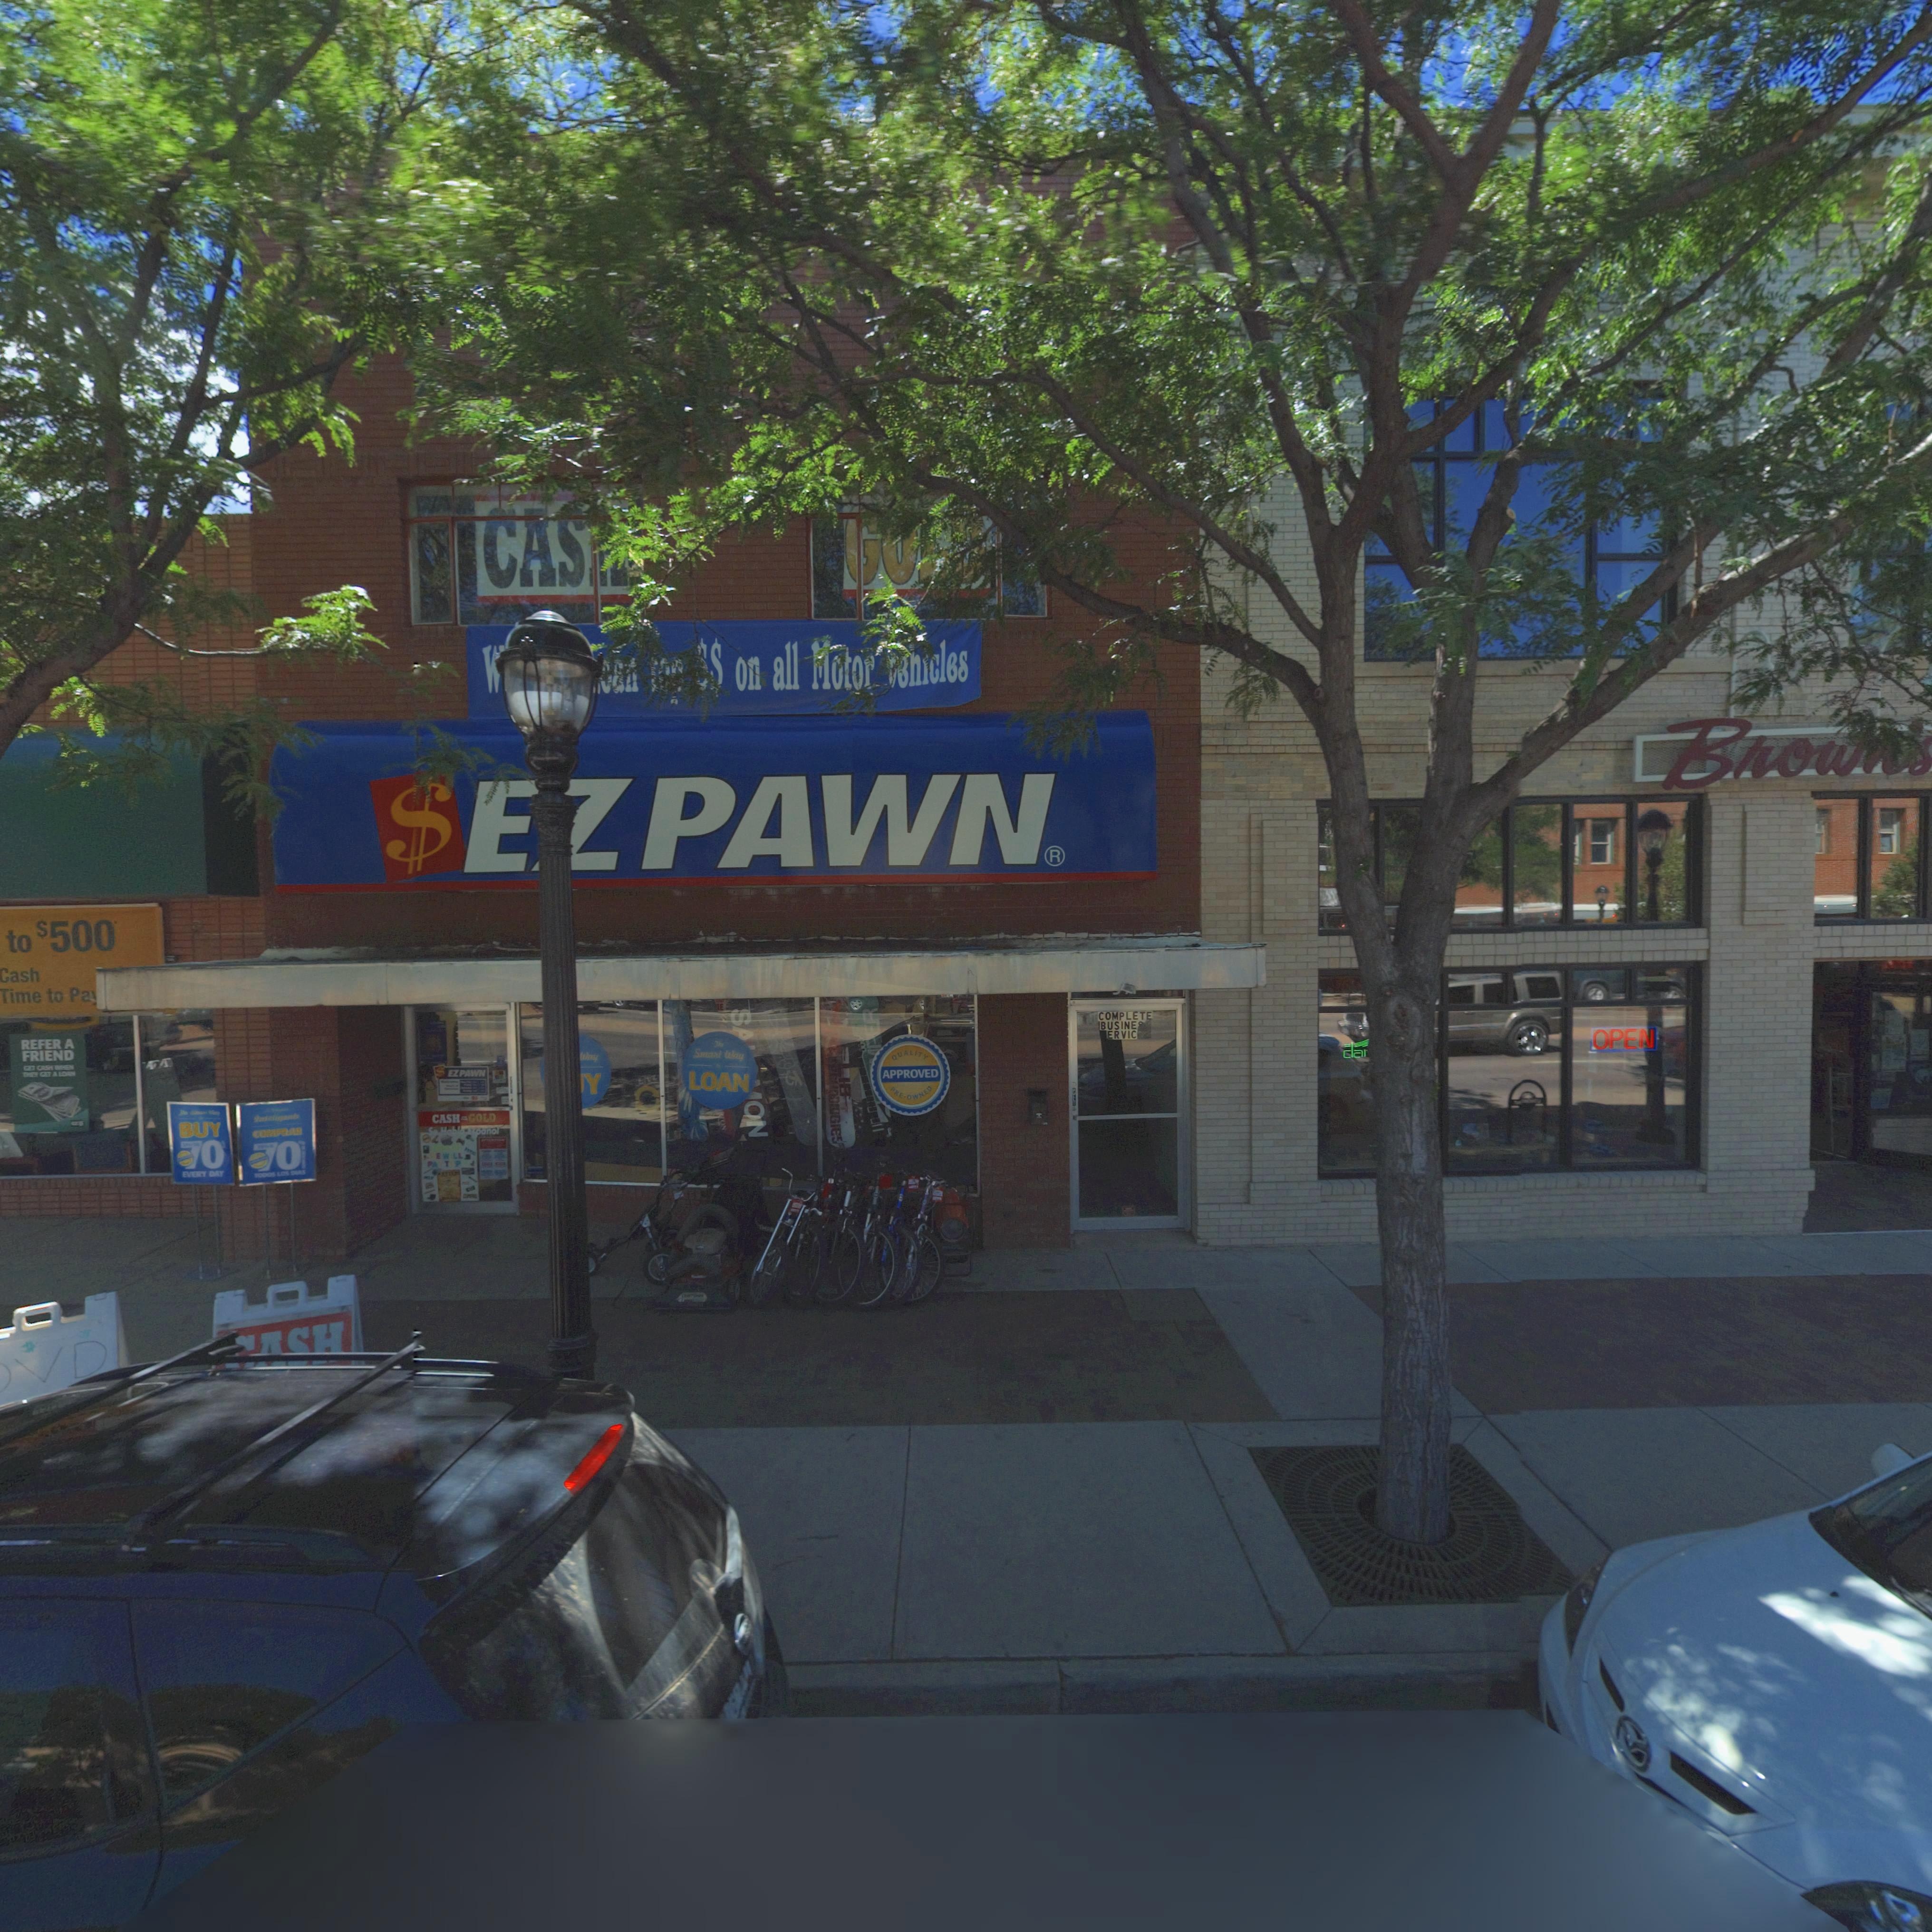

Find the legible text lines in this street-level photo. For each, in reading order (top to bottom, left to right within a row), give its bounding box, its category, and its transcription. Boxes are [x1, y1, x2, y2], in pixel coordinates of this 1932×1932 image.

[1660, 714, 1929, 791] BusinessName: Brown'
[460, 770, 1059, 874] BusinessName: EZ PAWN
[0, 967, 40, 983] BusinessName: Cash
[447, 1069, 486, 1077] BusinessName: EZ PAWN